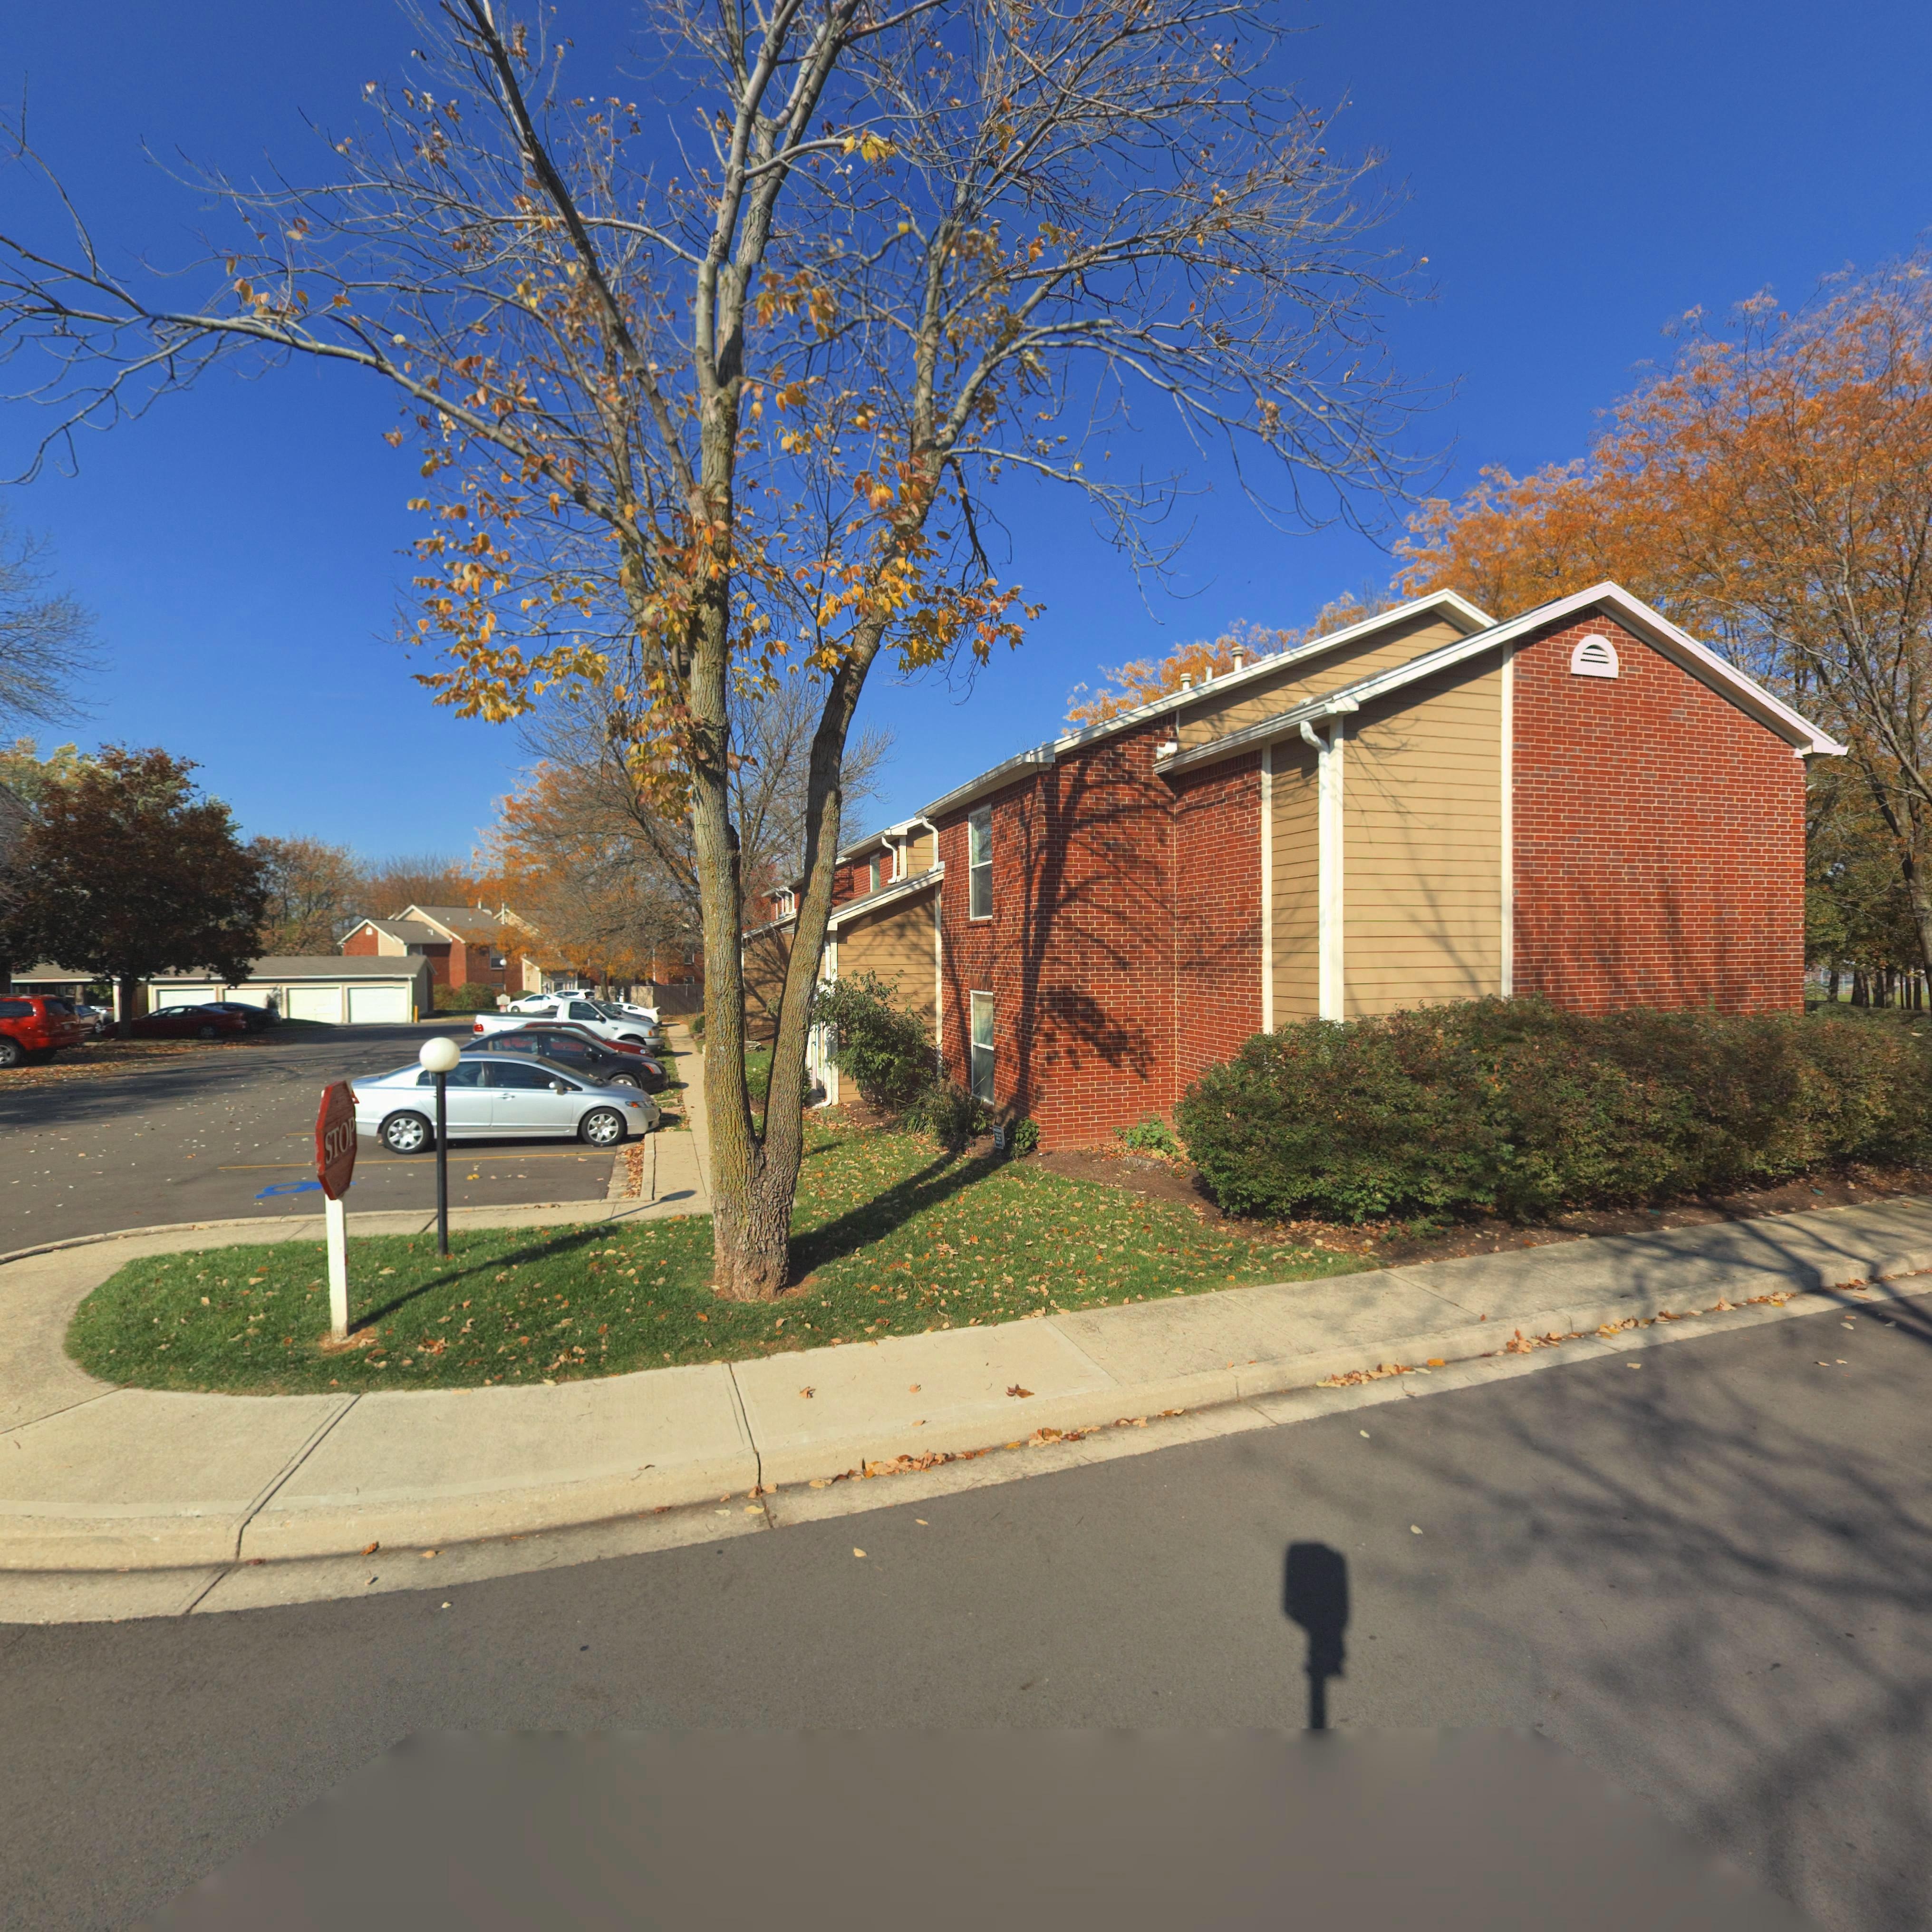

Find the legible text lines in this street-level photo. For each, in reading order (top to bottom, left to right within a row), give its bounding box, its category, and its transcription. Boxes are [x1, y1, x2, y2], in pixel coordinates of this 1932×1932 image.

[325, 1115, 355, 1166] None: STOP